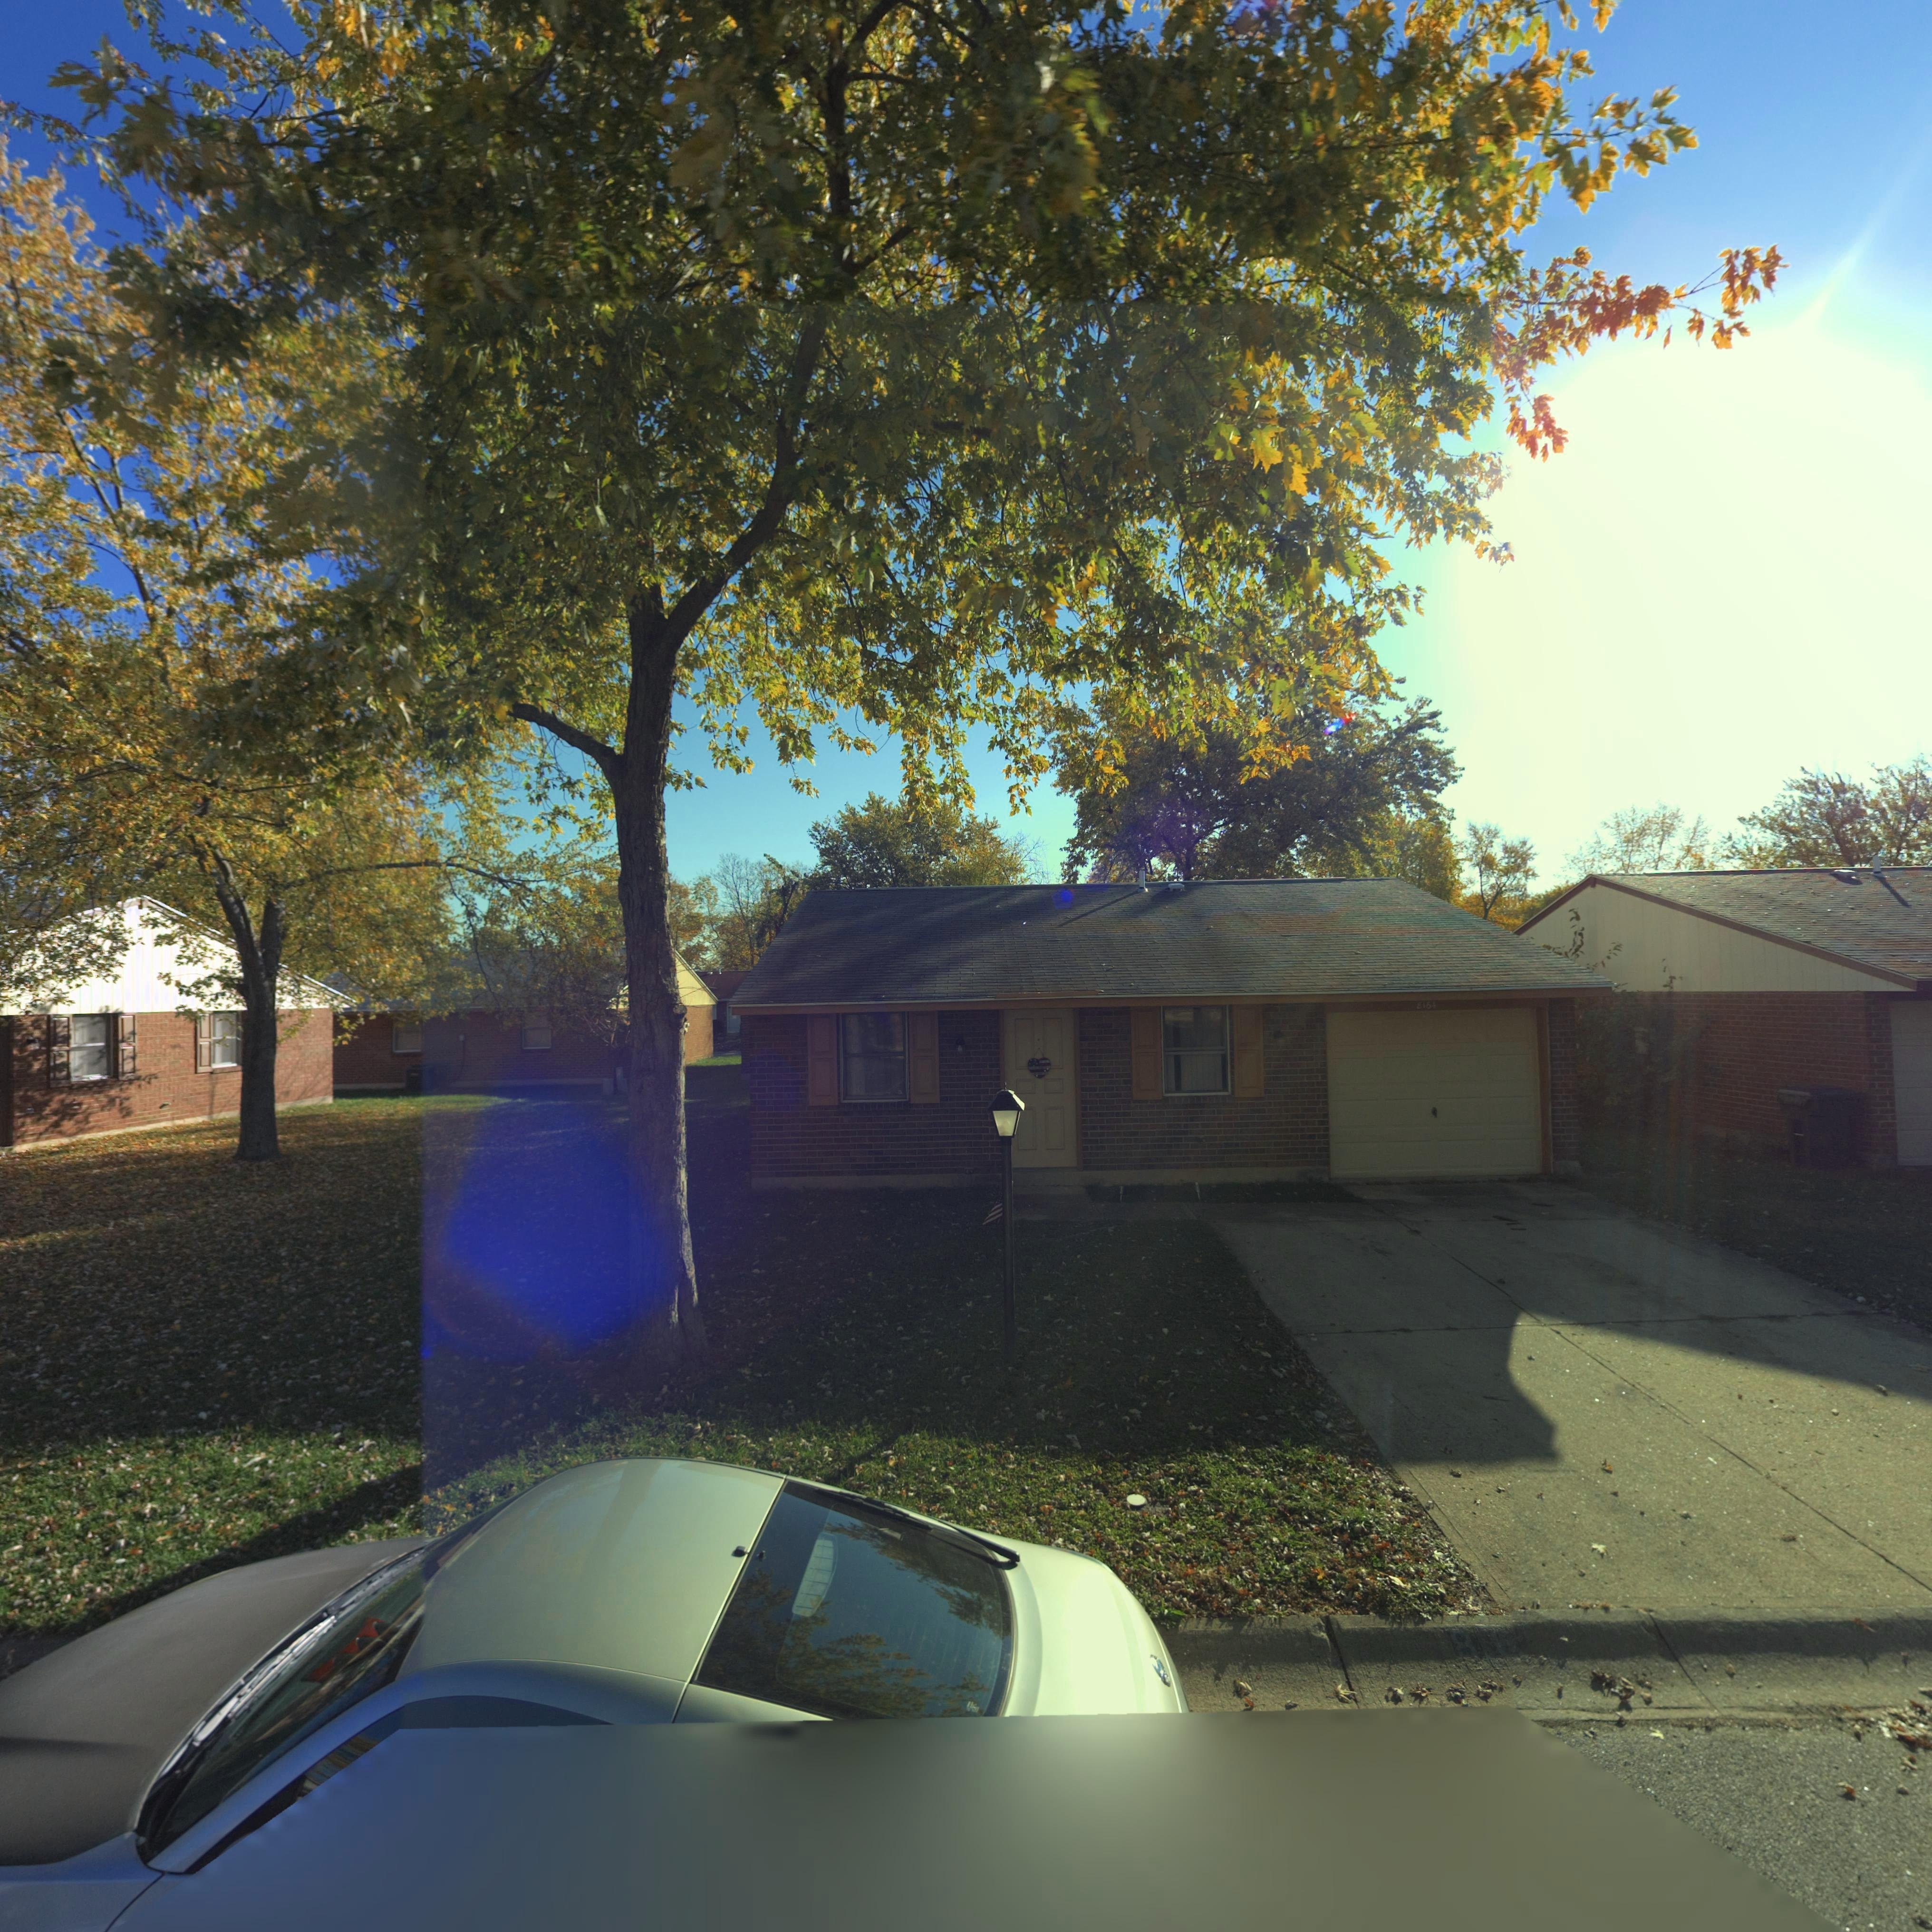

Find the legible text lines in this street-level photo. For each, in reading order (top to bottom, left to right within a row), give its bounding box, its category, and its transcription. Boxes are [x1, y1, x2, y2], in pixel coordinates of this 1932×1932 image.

[1415, 999, 1438, 1011] StreetNumber: 816*